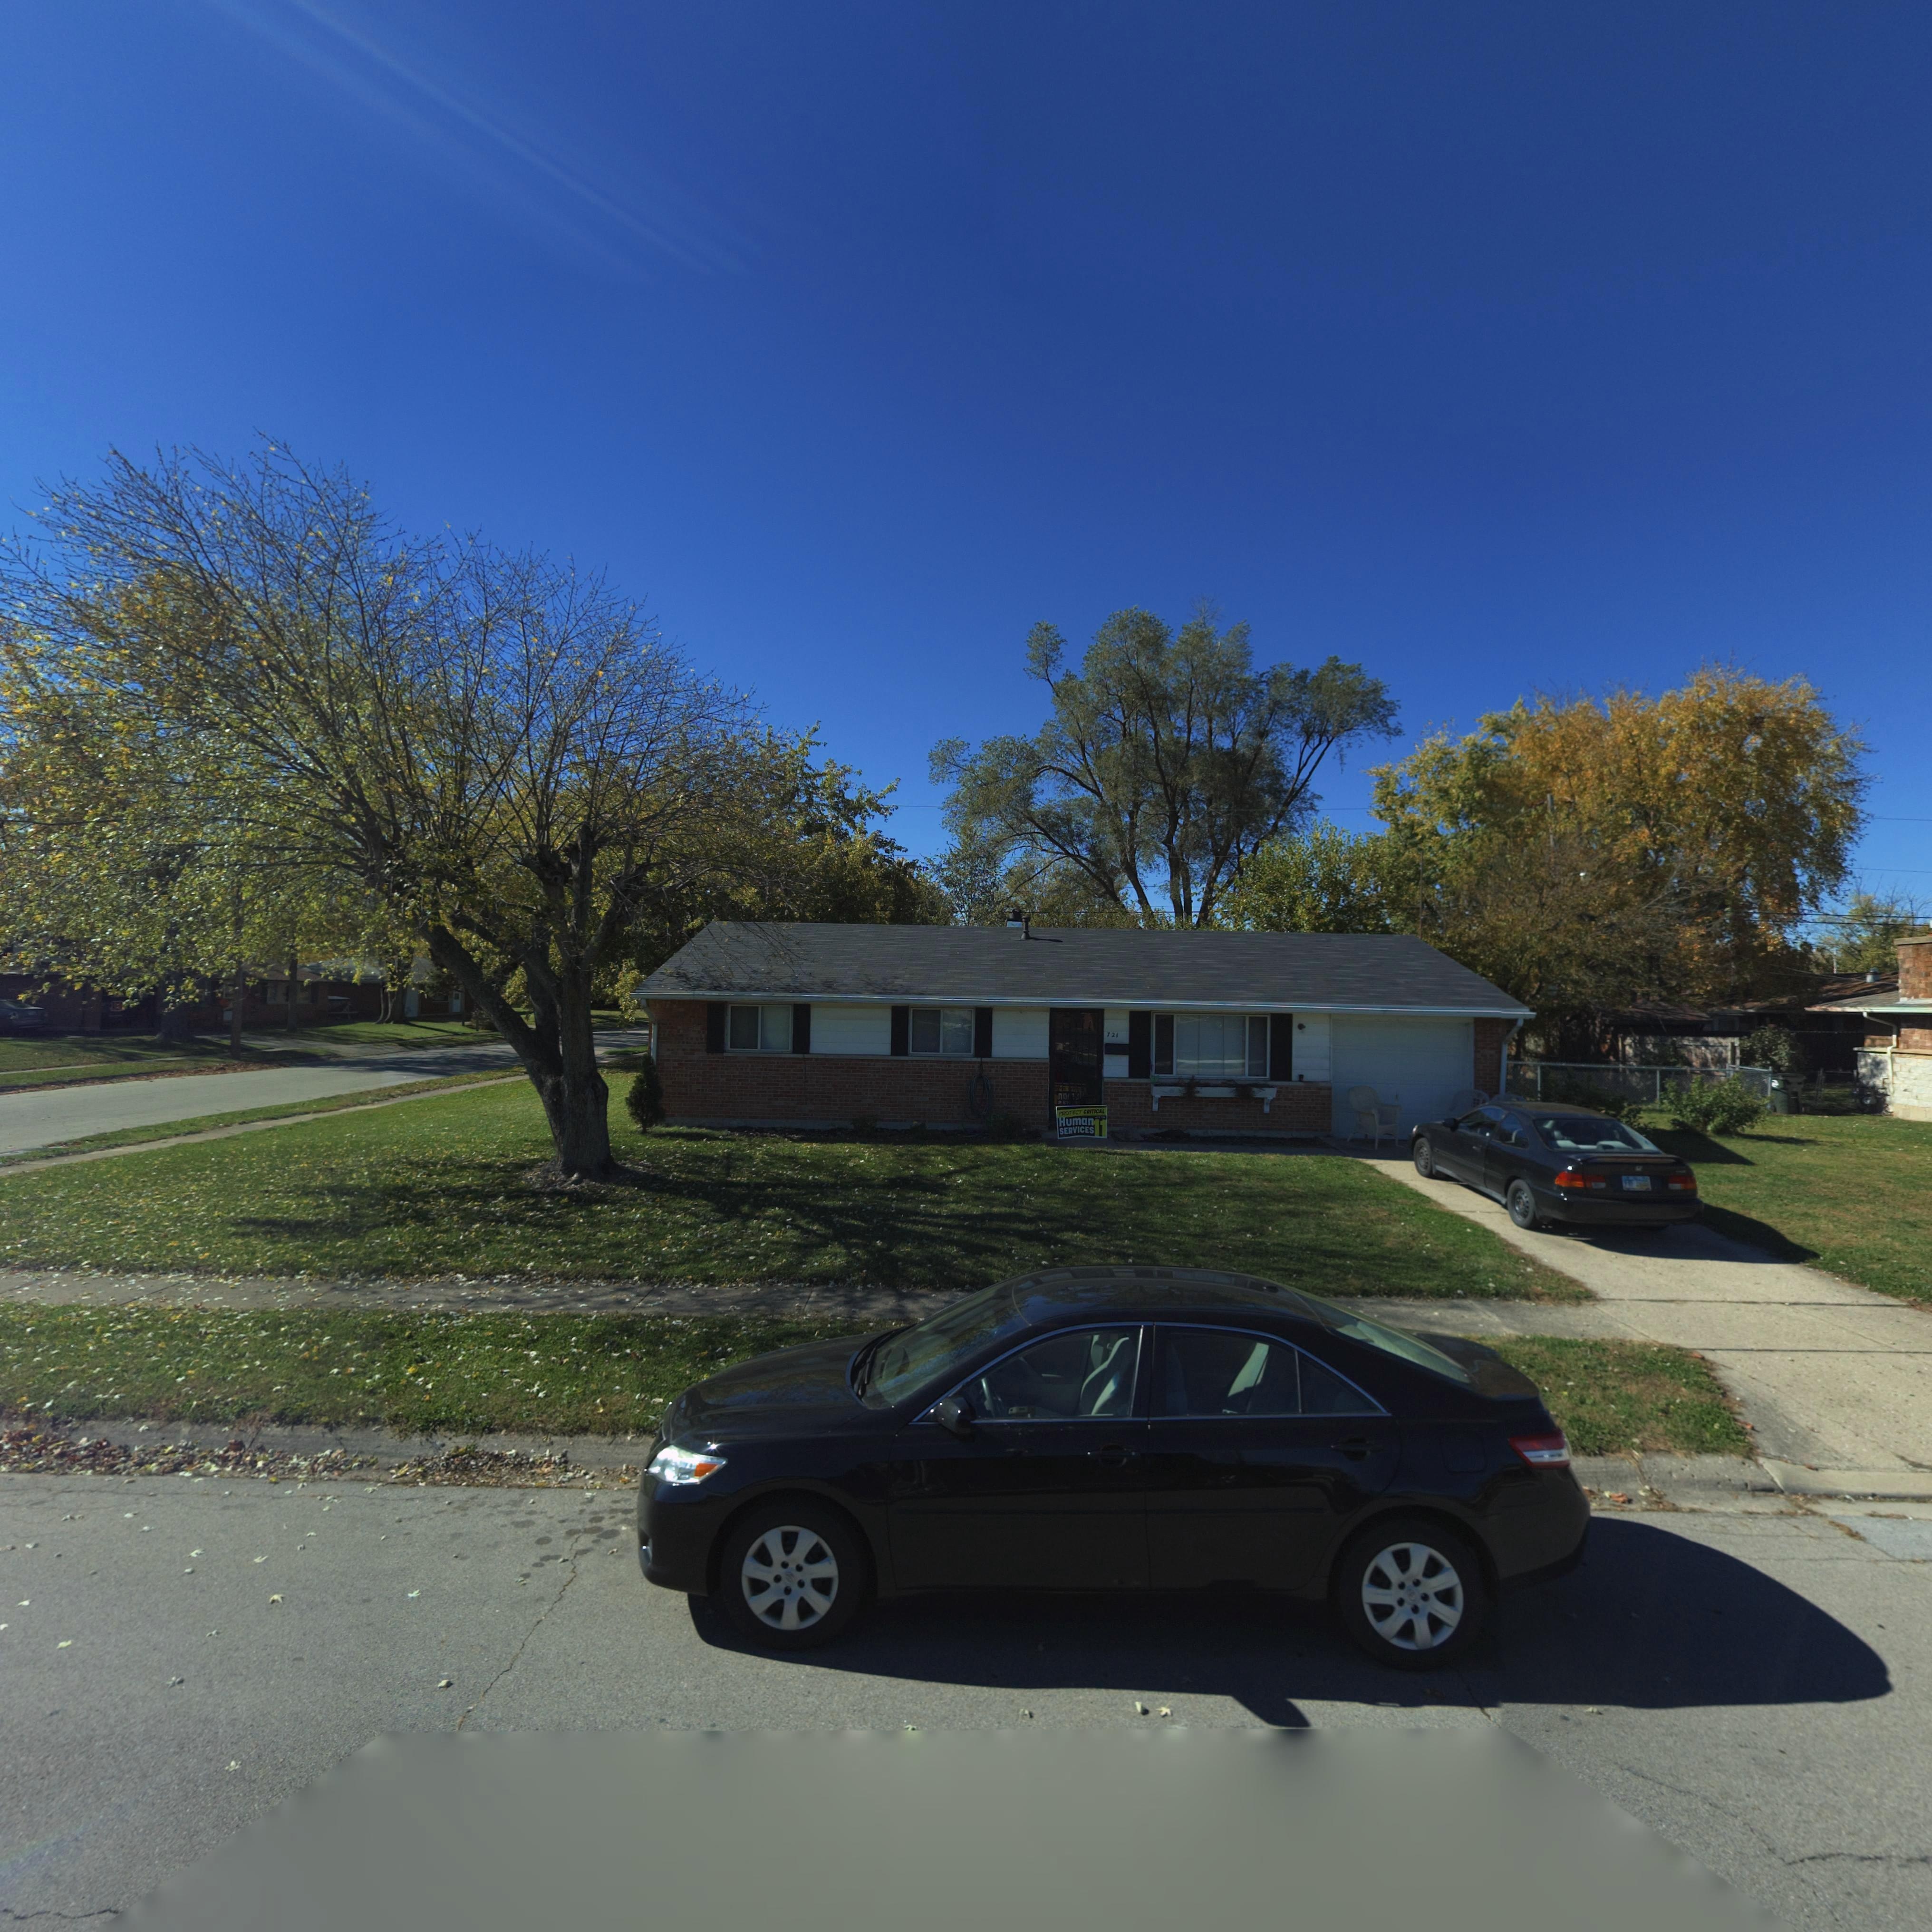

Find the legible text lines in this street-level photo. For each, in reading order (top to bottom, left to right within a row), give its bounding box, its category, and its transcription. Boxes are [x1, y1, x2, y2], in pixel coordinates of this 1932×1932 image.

[1106, 1031, 1120, 1039] StreetNumber: 721
[1057, 1108, 1105, 1117] None: PROTECT CRITICAL
[1058, 1116, 1095, 1127] None: Human
[1059, 1126, 1095, 1136] None: SERVICES
[1092, 1118, 1107, 1137] None: 11
[1623, 1179, 1635, 1188] None: F*F